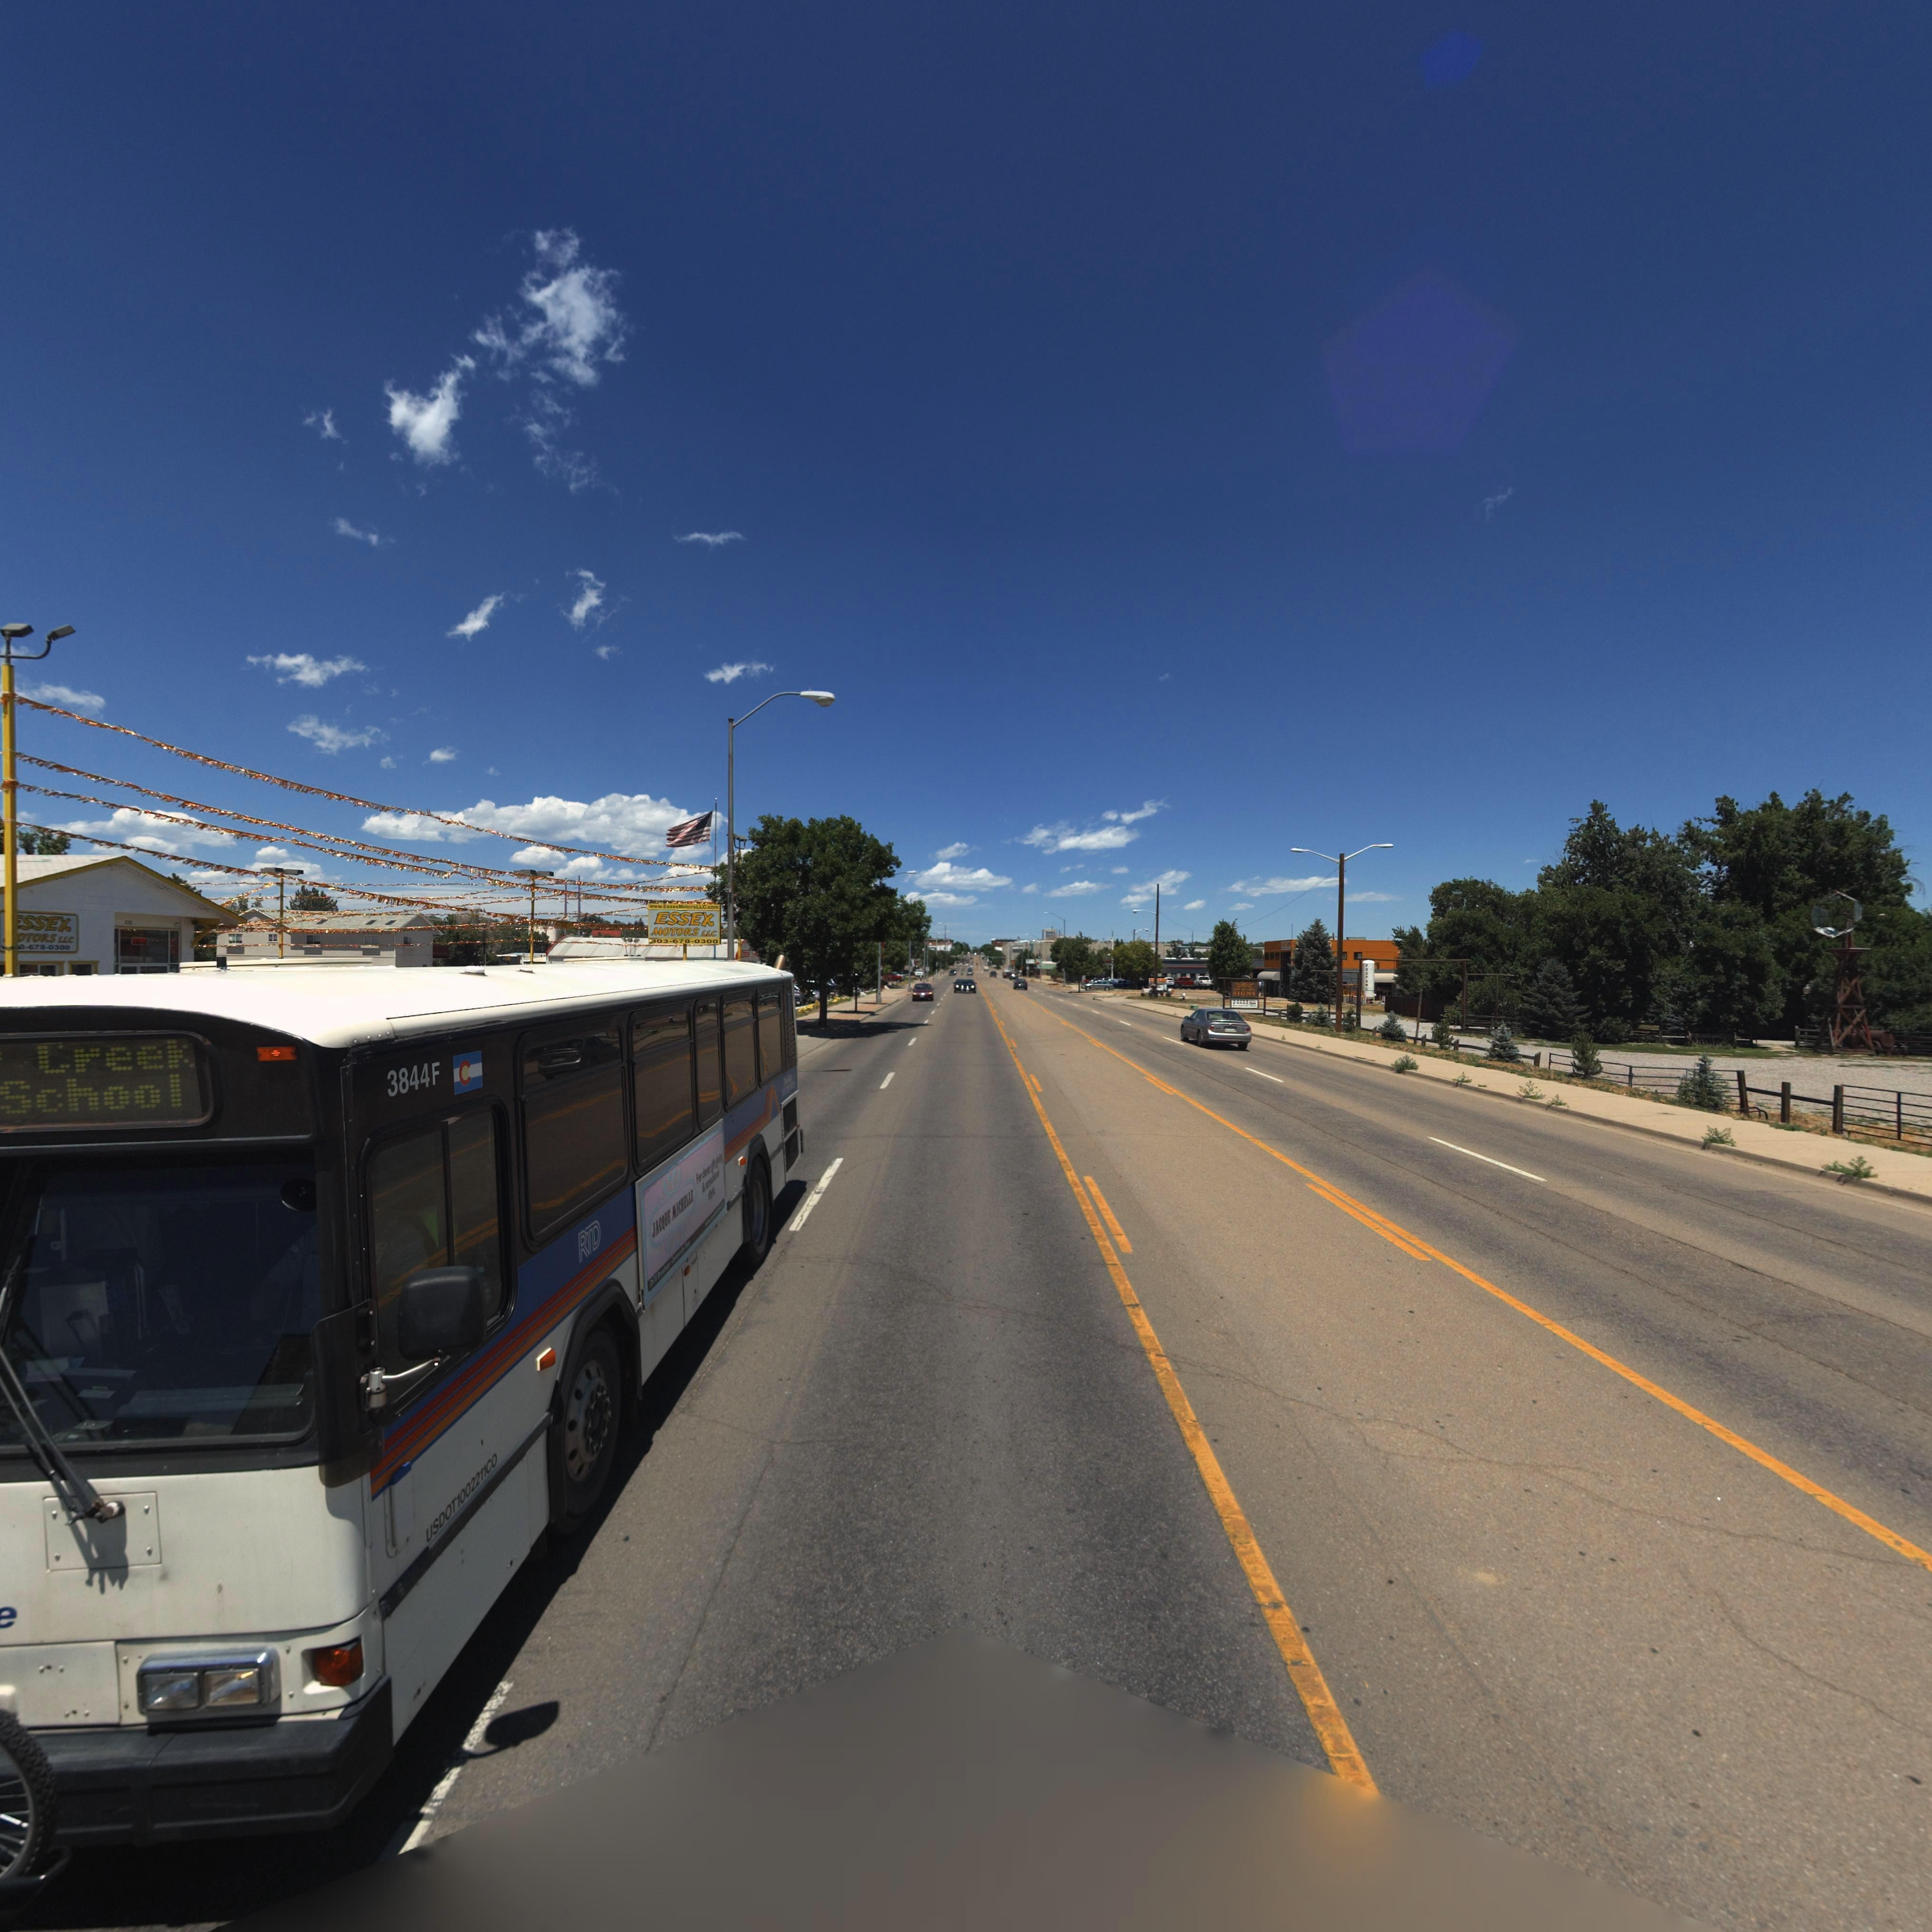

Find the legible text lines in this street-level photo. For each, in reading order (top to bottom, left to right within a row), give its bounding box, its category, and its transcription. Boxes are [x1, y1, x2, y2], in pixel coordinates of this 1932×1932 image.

[16, 913, 72, 933] BusinessName: *SSEX
[653, 911, 715, 927] BusinessName: ESSEX
[17, 931, 75, 944] BusinessName: OTORS LLC
[650, 927, 717, 937] BusinessName: MOTORS LLC